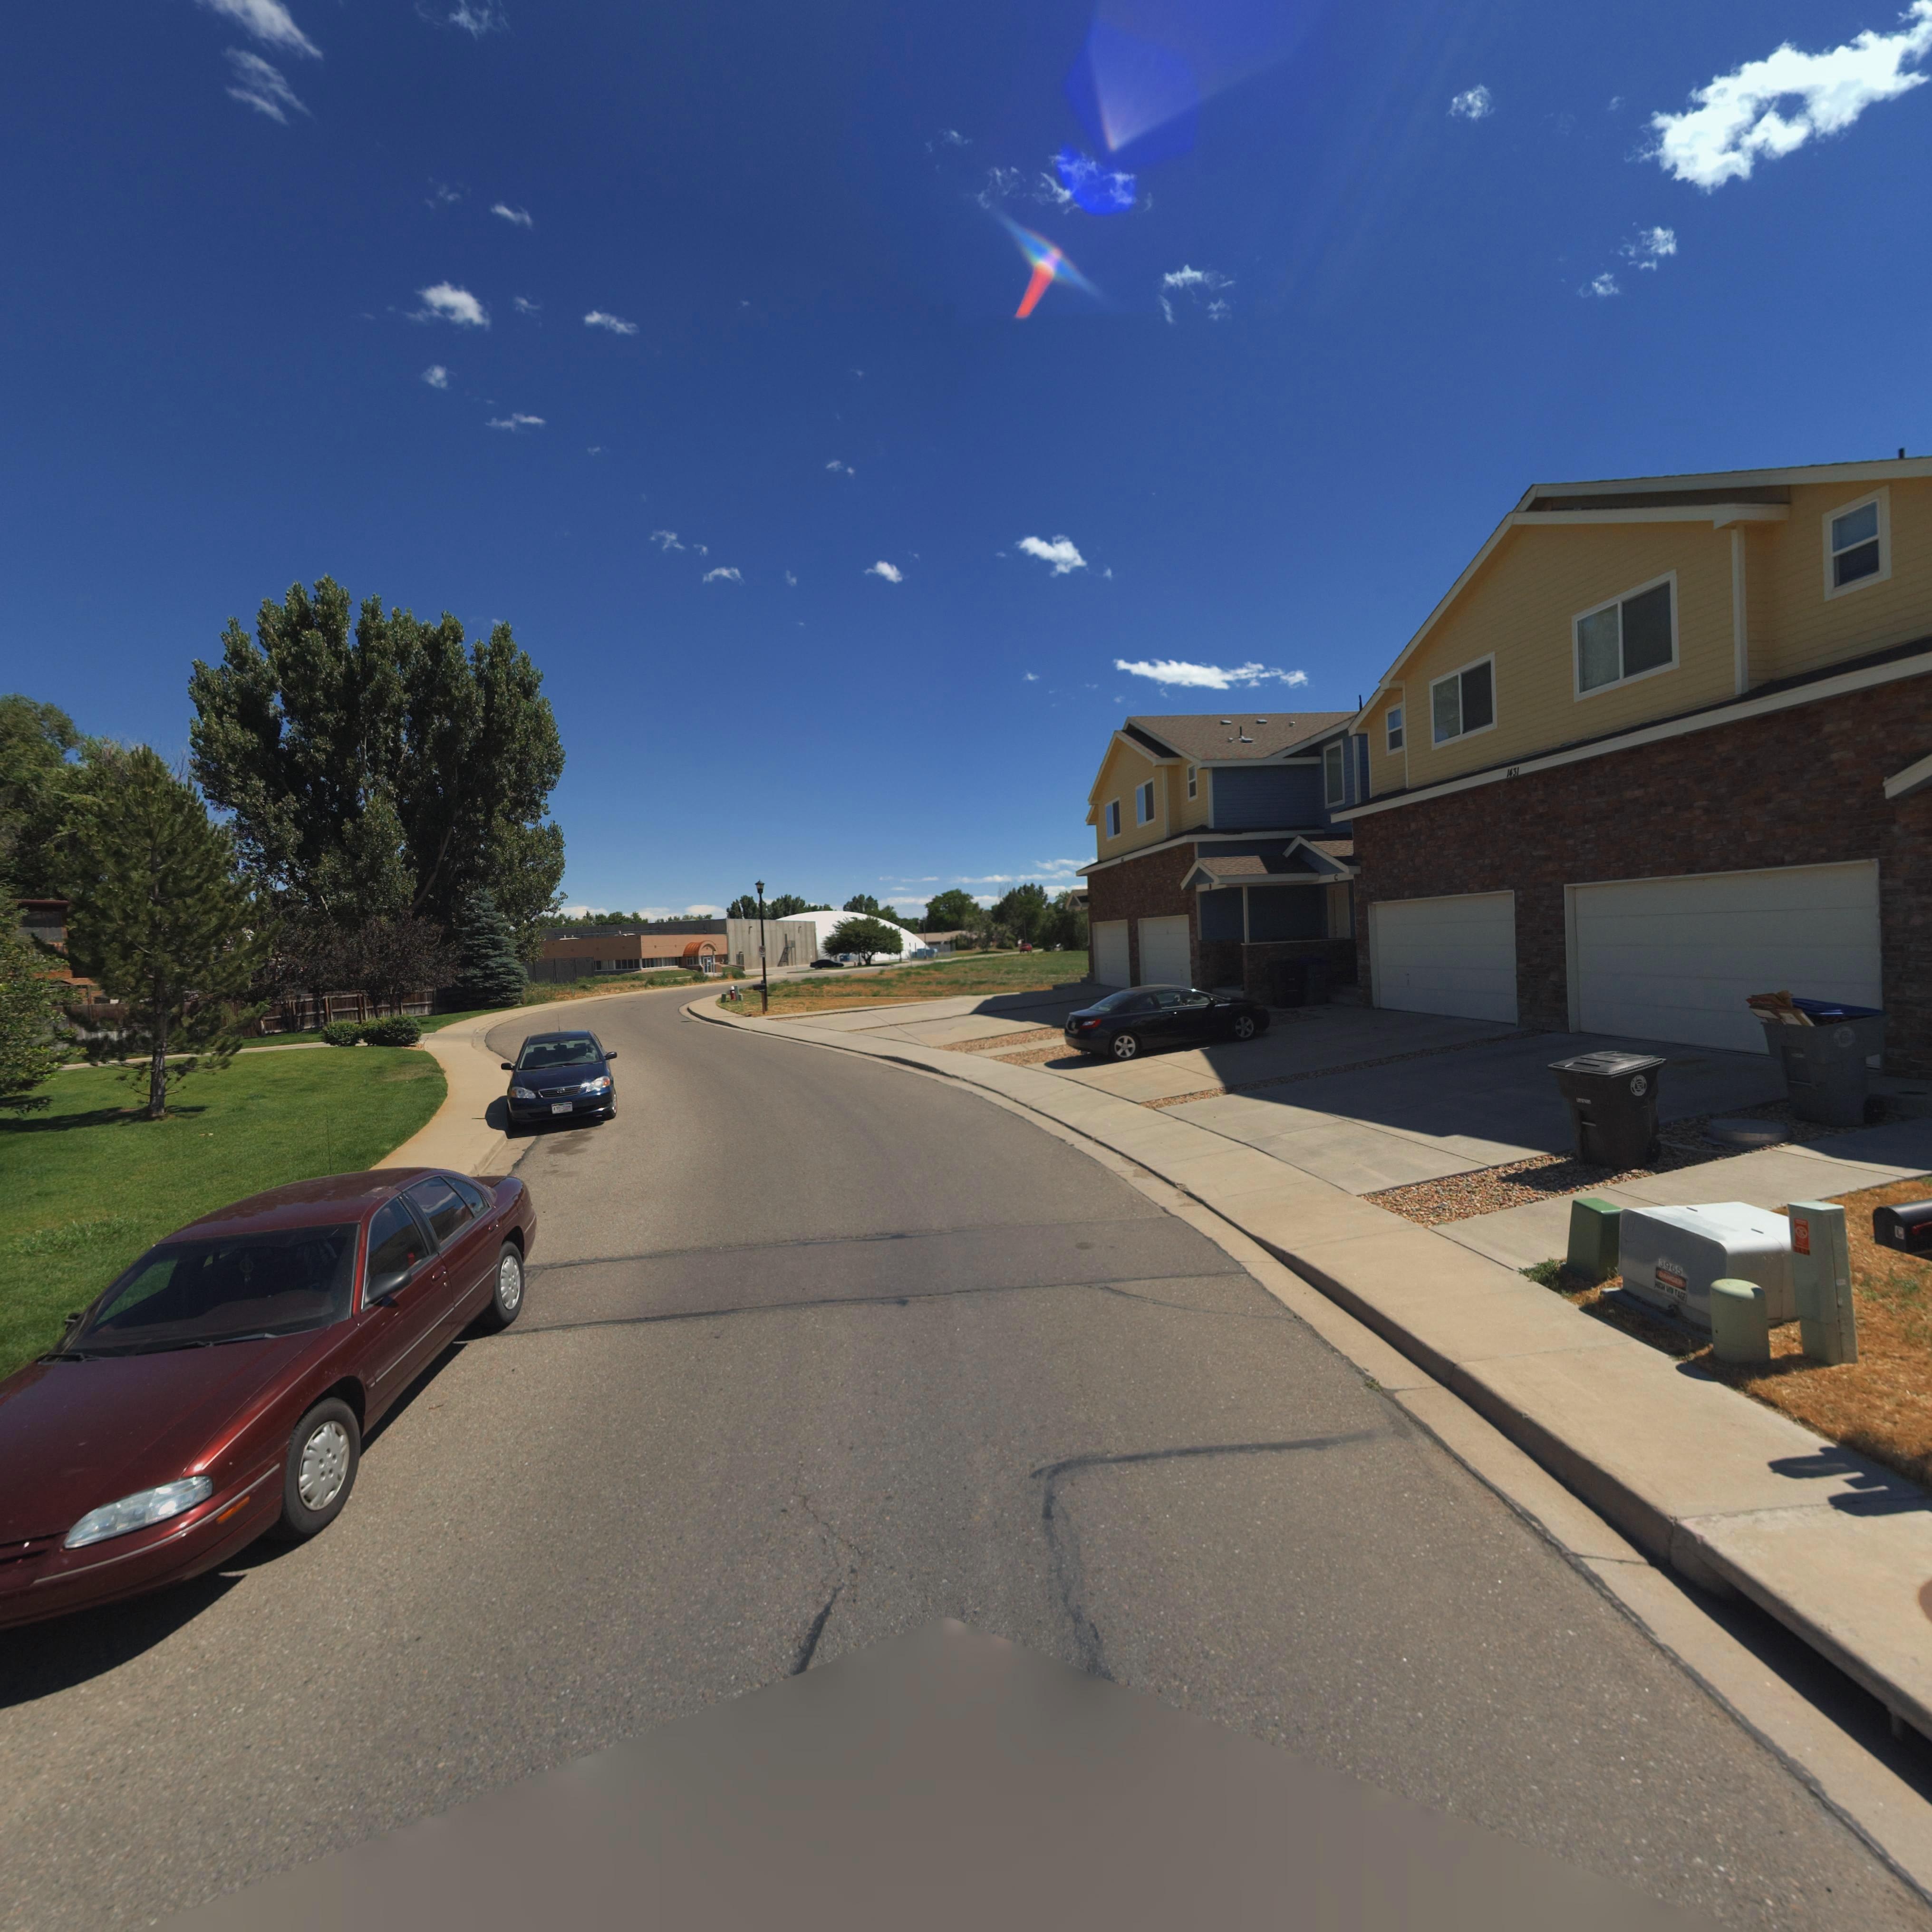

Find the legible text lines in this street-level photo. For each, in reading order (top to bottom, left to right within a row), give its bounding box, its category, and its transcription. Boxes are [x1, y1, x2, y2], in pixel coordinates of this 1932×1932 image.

[1506, 766, 1519, 778] StreetNumber: 1431